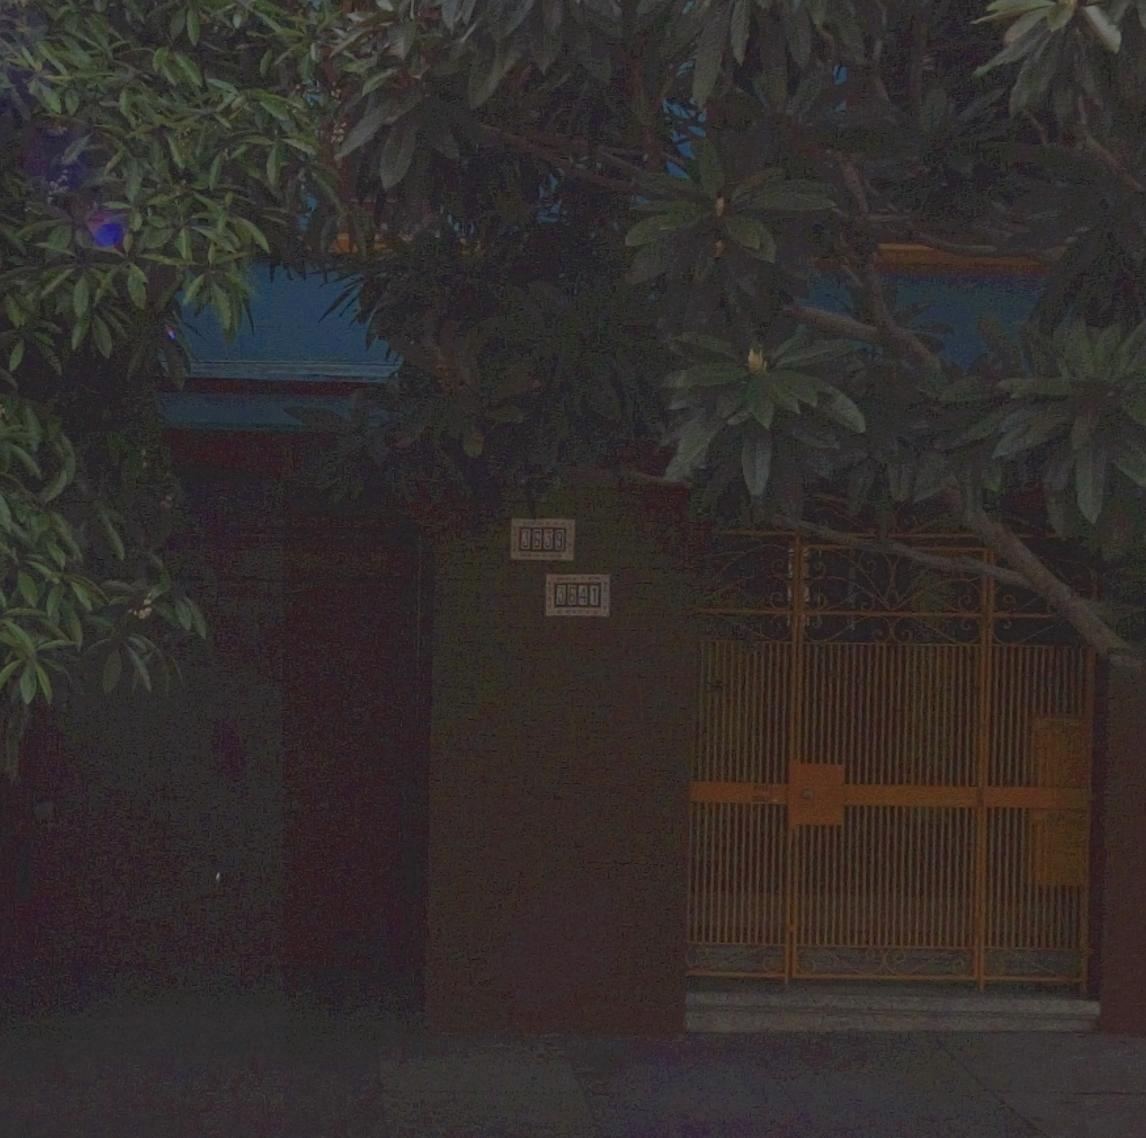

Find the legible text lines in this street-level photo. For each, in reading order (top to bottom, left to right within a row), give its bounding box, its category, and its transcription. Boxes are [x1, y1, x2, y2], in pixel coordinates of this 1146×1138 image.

[522, 529, 565, 550] StreetNumber: 3639
[557, 584, 599, 606] StreetNumber: 3641